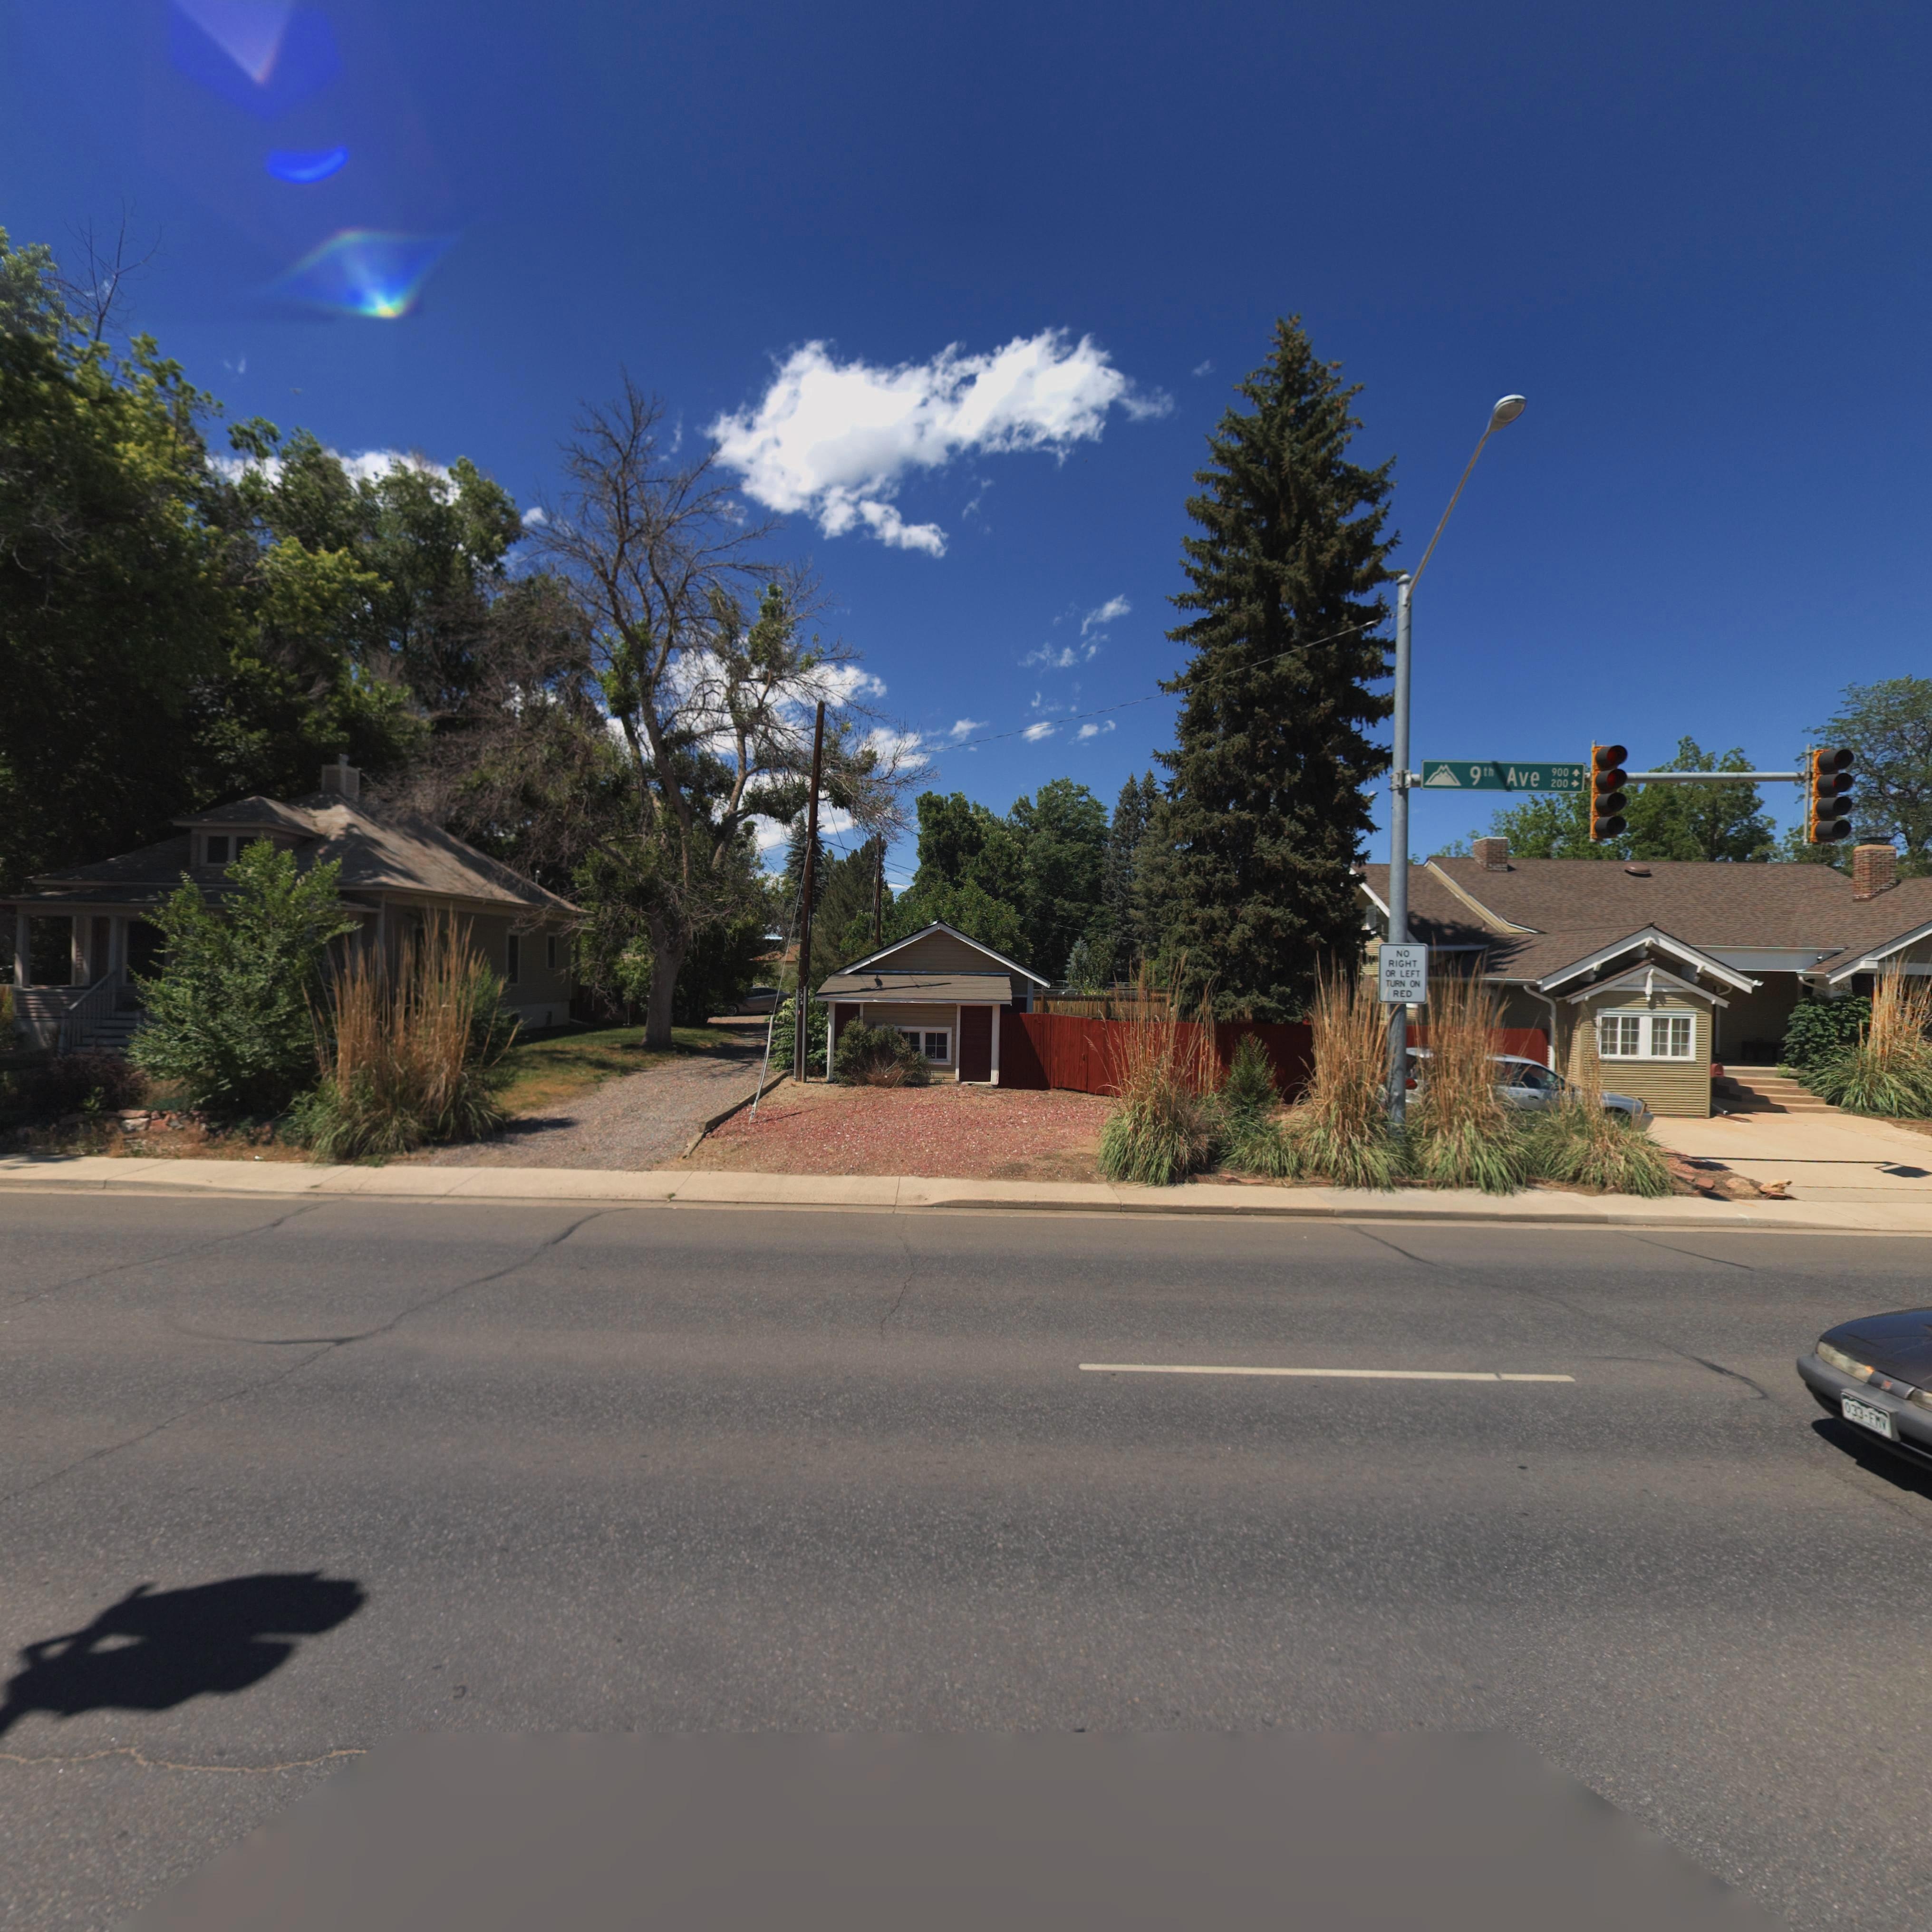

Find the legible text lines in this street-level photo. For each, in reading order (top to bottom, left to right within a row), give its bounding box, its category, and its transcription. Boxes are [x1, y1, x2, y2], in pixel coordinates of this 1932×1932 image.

[1469, 766, 1540, 787] StreetName: 9th Ave
[1551, 767, 1569, 777] StreetNumberRange: 900
[1550, 779, 1580, 788] StreetNumberRange: 200->
[1833, 983, 1851, 991] StreetNumber: 302